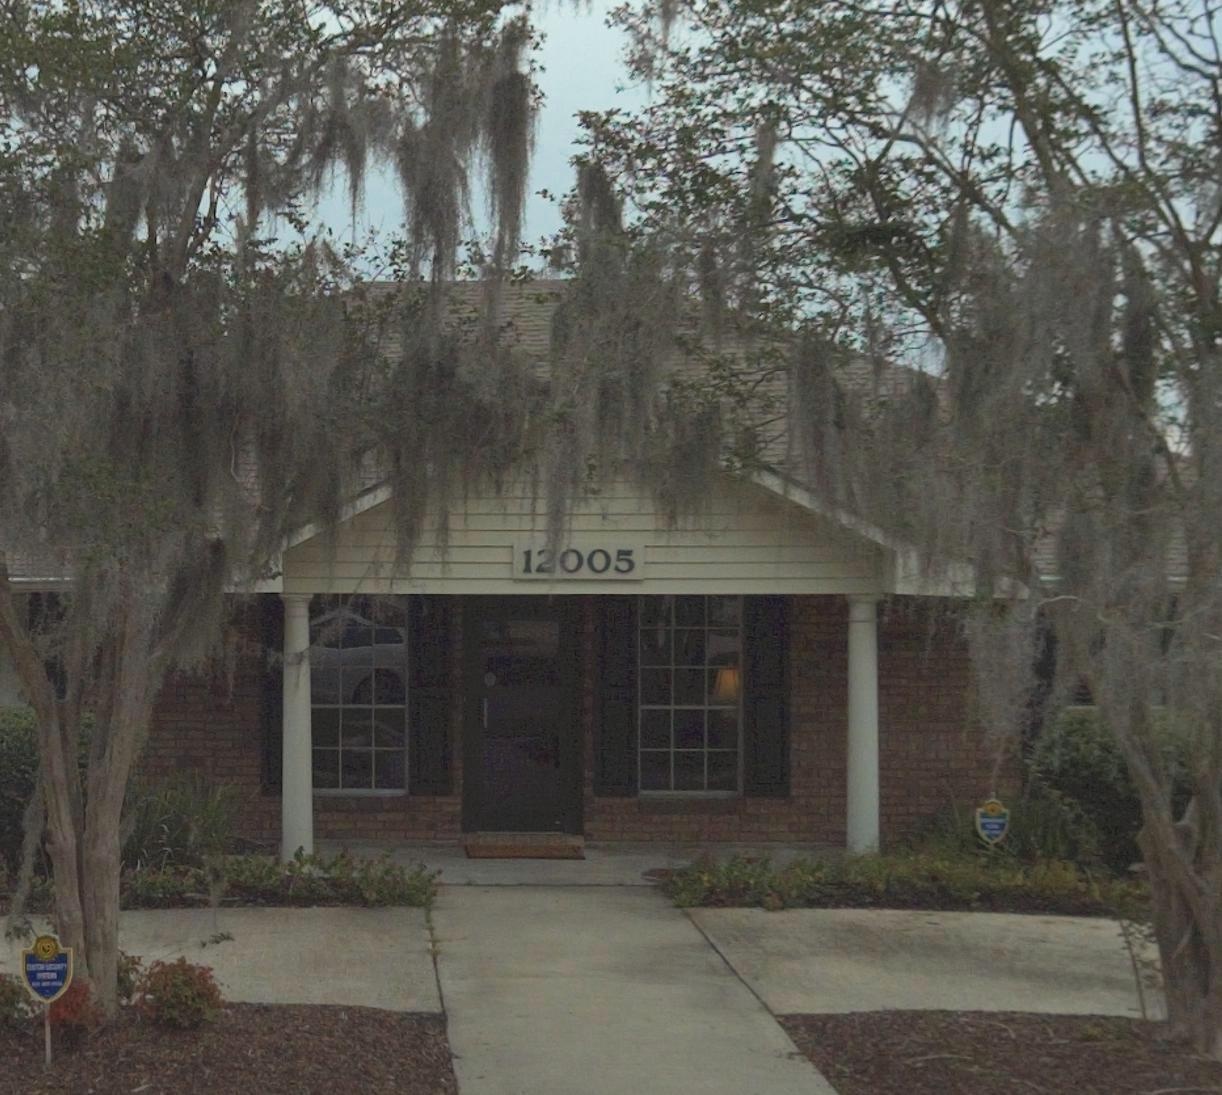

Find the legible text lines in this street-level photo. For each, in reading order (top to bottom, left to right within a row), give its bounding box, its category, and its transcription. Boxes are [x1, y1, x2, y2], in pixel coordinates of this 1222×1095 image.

[521, 547, 636, 575] StreetNumber: 12005